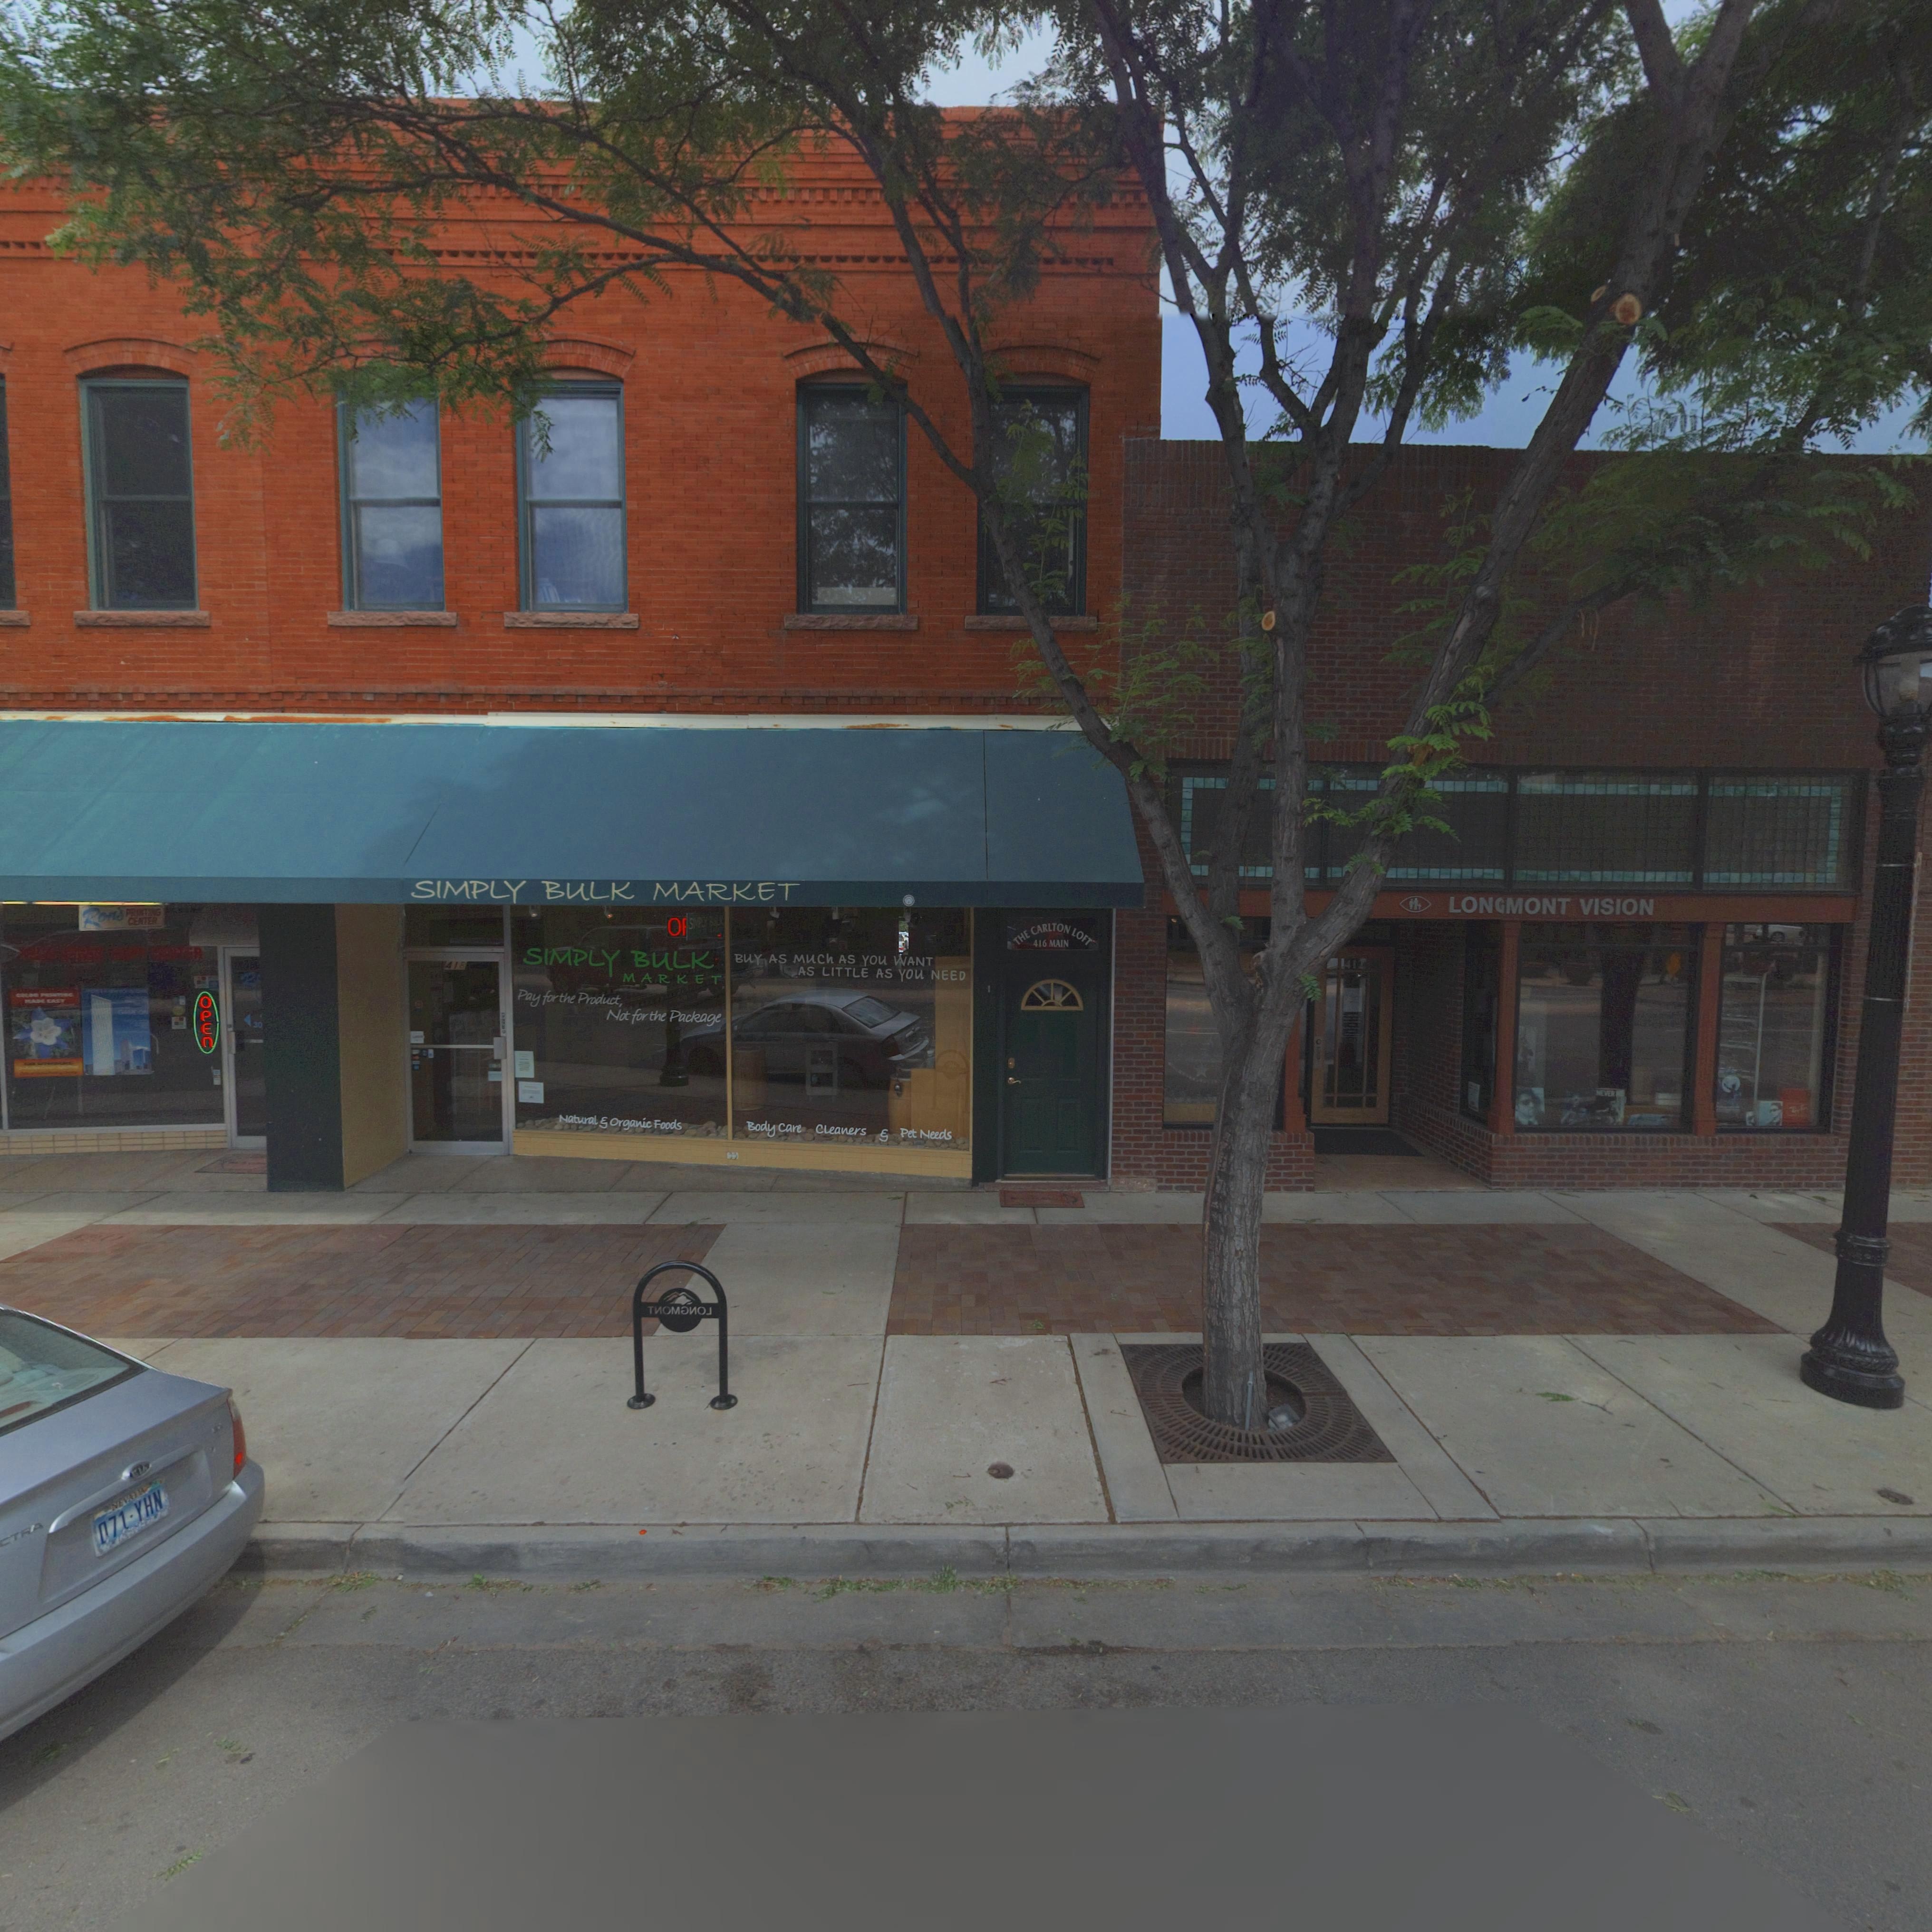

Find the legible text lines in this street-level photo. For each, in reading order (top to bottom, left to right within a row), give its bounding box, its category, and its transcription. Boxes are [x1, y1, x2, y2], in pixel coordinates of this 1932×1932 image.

[410, 879, 802, 903] BusinessName: SIMPLY BULK MARKET
[81, 907, 125, 928] BusinessName: Ron's
[127, 916, 158, 926] BusinessName: CENTER
[126, 908, 161, 917] BusinessName: PR**T**G
[688, 914, 724, 930] BusinessName: SIMP** ****
[1448, 895, 1654, 917] BusinessName: LON*MONT VISION
[1012, 922, 1093, 946] BusinessName: THE CARLTON LOFT
[1033, 939, 1046, 947] StreetNumber: 416
[1049, 939, 1069, 947] StreetName: MAIN
[444, 960, 466, 969] StreetNumber: 41*
[521, 947, 715, 978] BusinessName: SIMPLY BULK
[1343, 959, 1363, 969] StreetNumber: 412
[240, 971, 262, 988] BusinessName: R***
[622, 972, 722, 985] BusinessName: MARKET